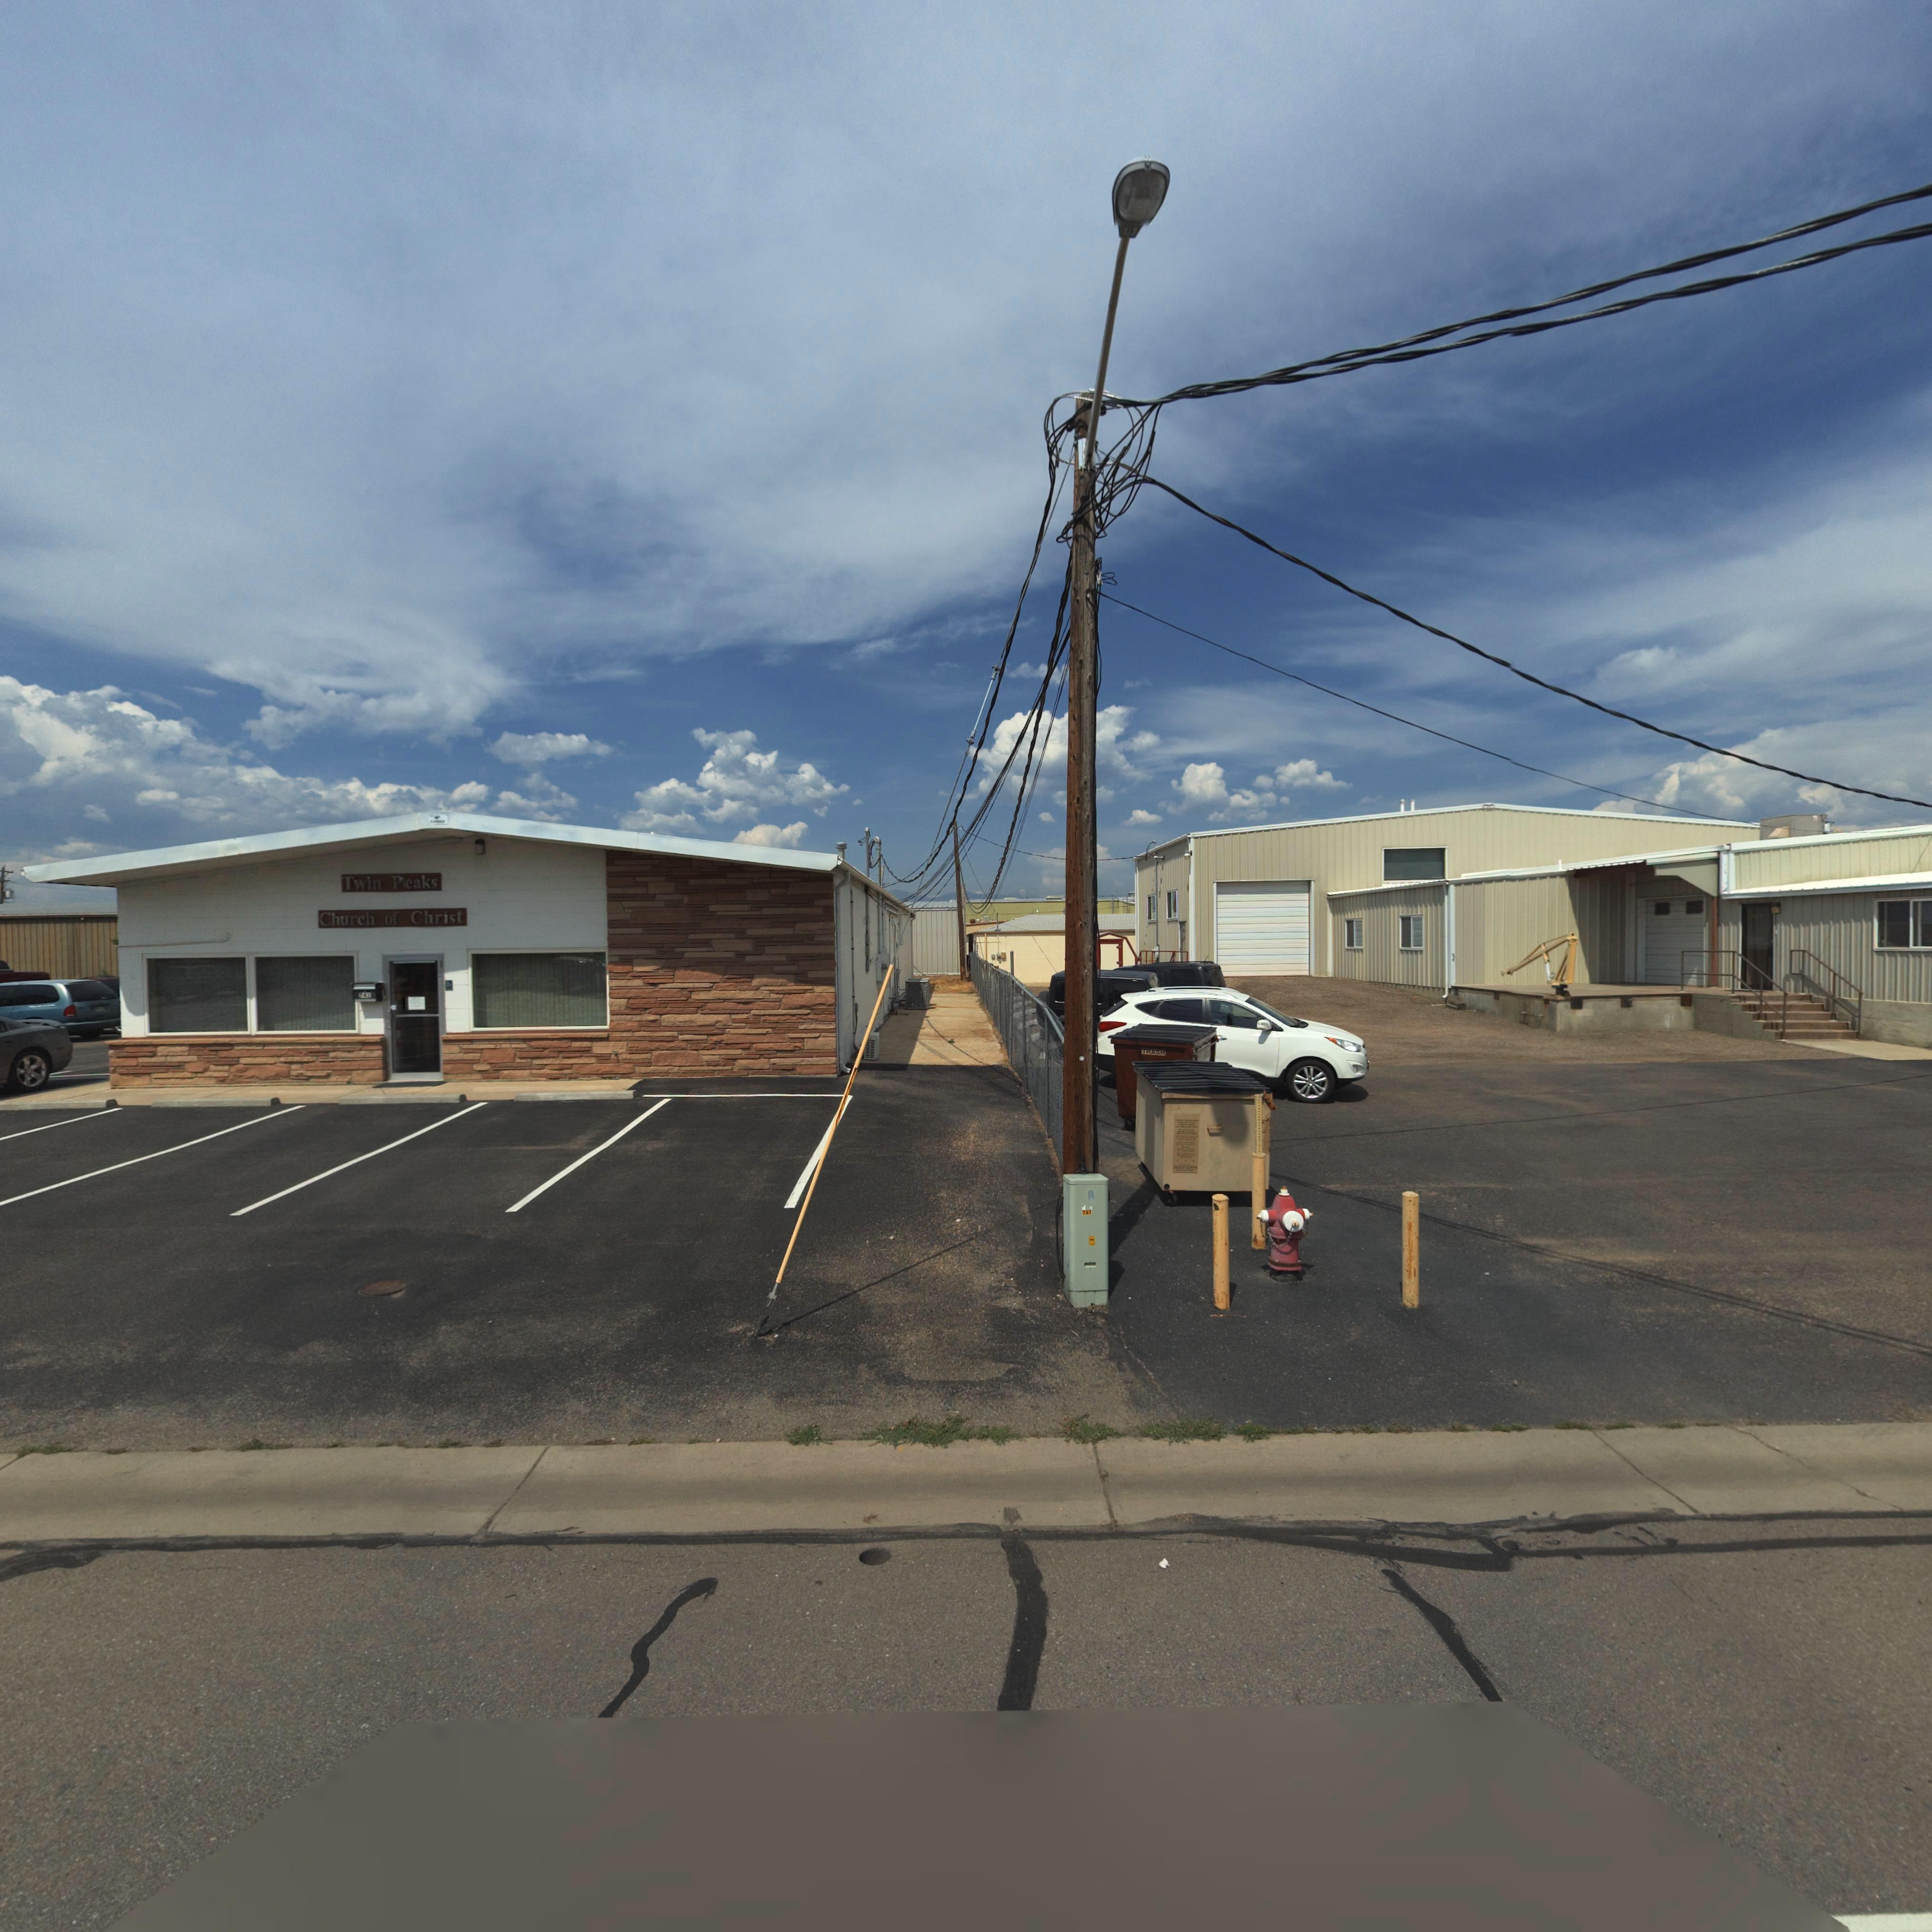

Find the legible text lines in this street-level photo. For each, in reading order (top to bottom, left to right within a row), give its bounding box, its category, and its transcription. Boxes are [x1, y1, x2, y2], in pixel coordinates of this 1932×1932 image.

[340, 874, 439, 890] BusinessName: Twin Peaks
[318, 909, 465, 927] BusinessName: Church of Christ
[358, 992, 370, 998] StreetNumber: *41